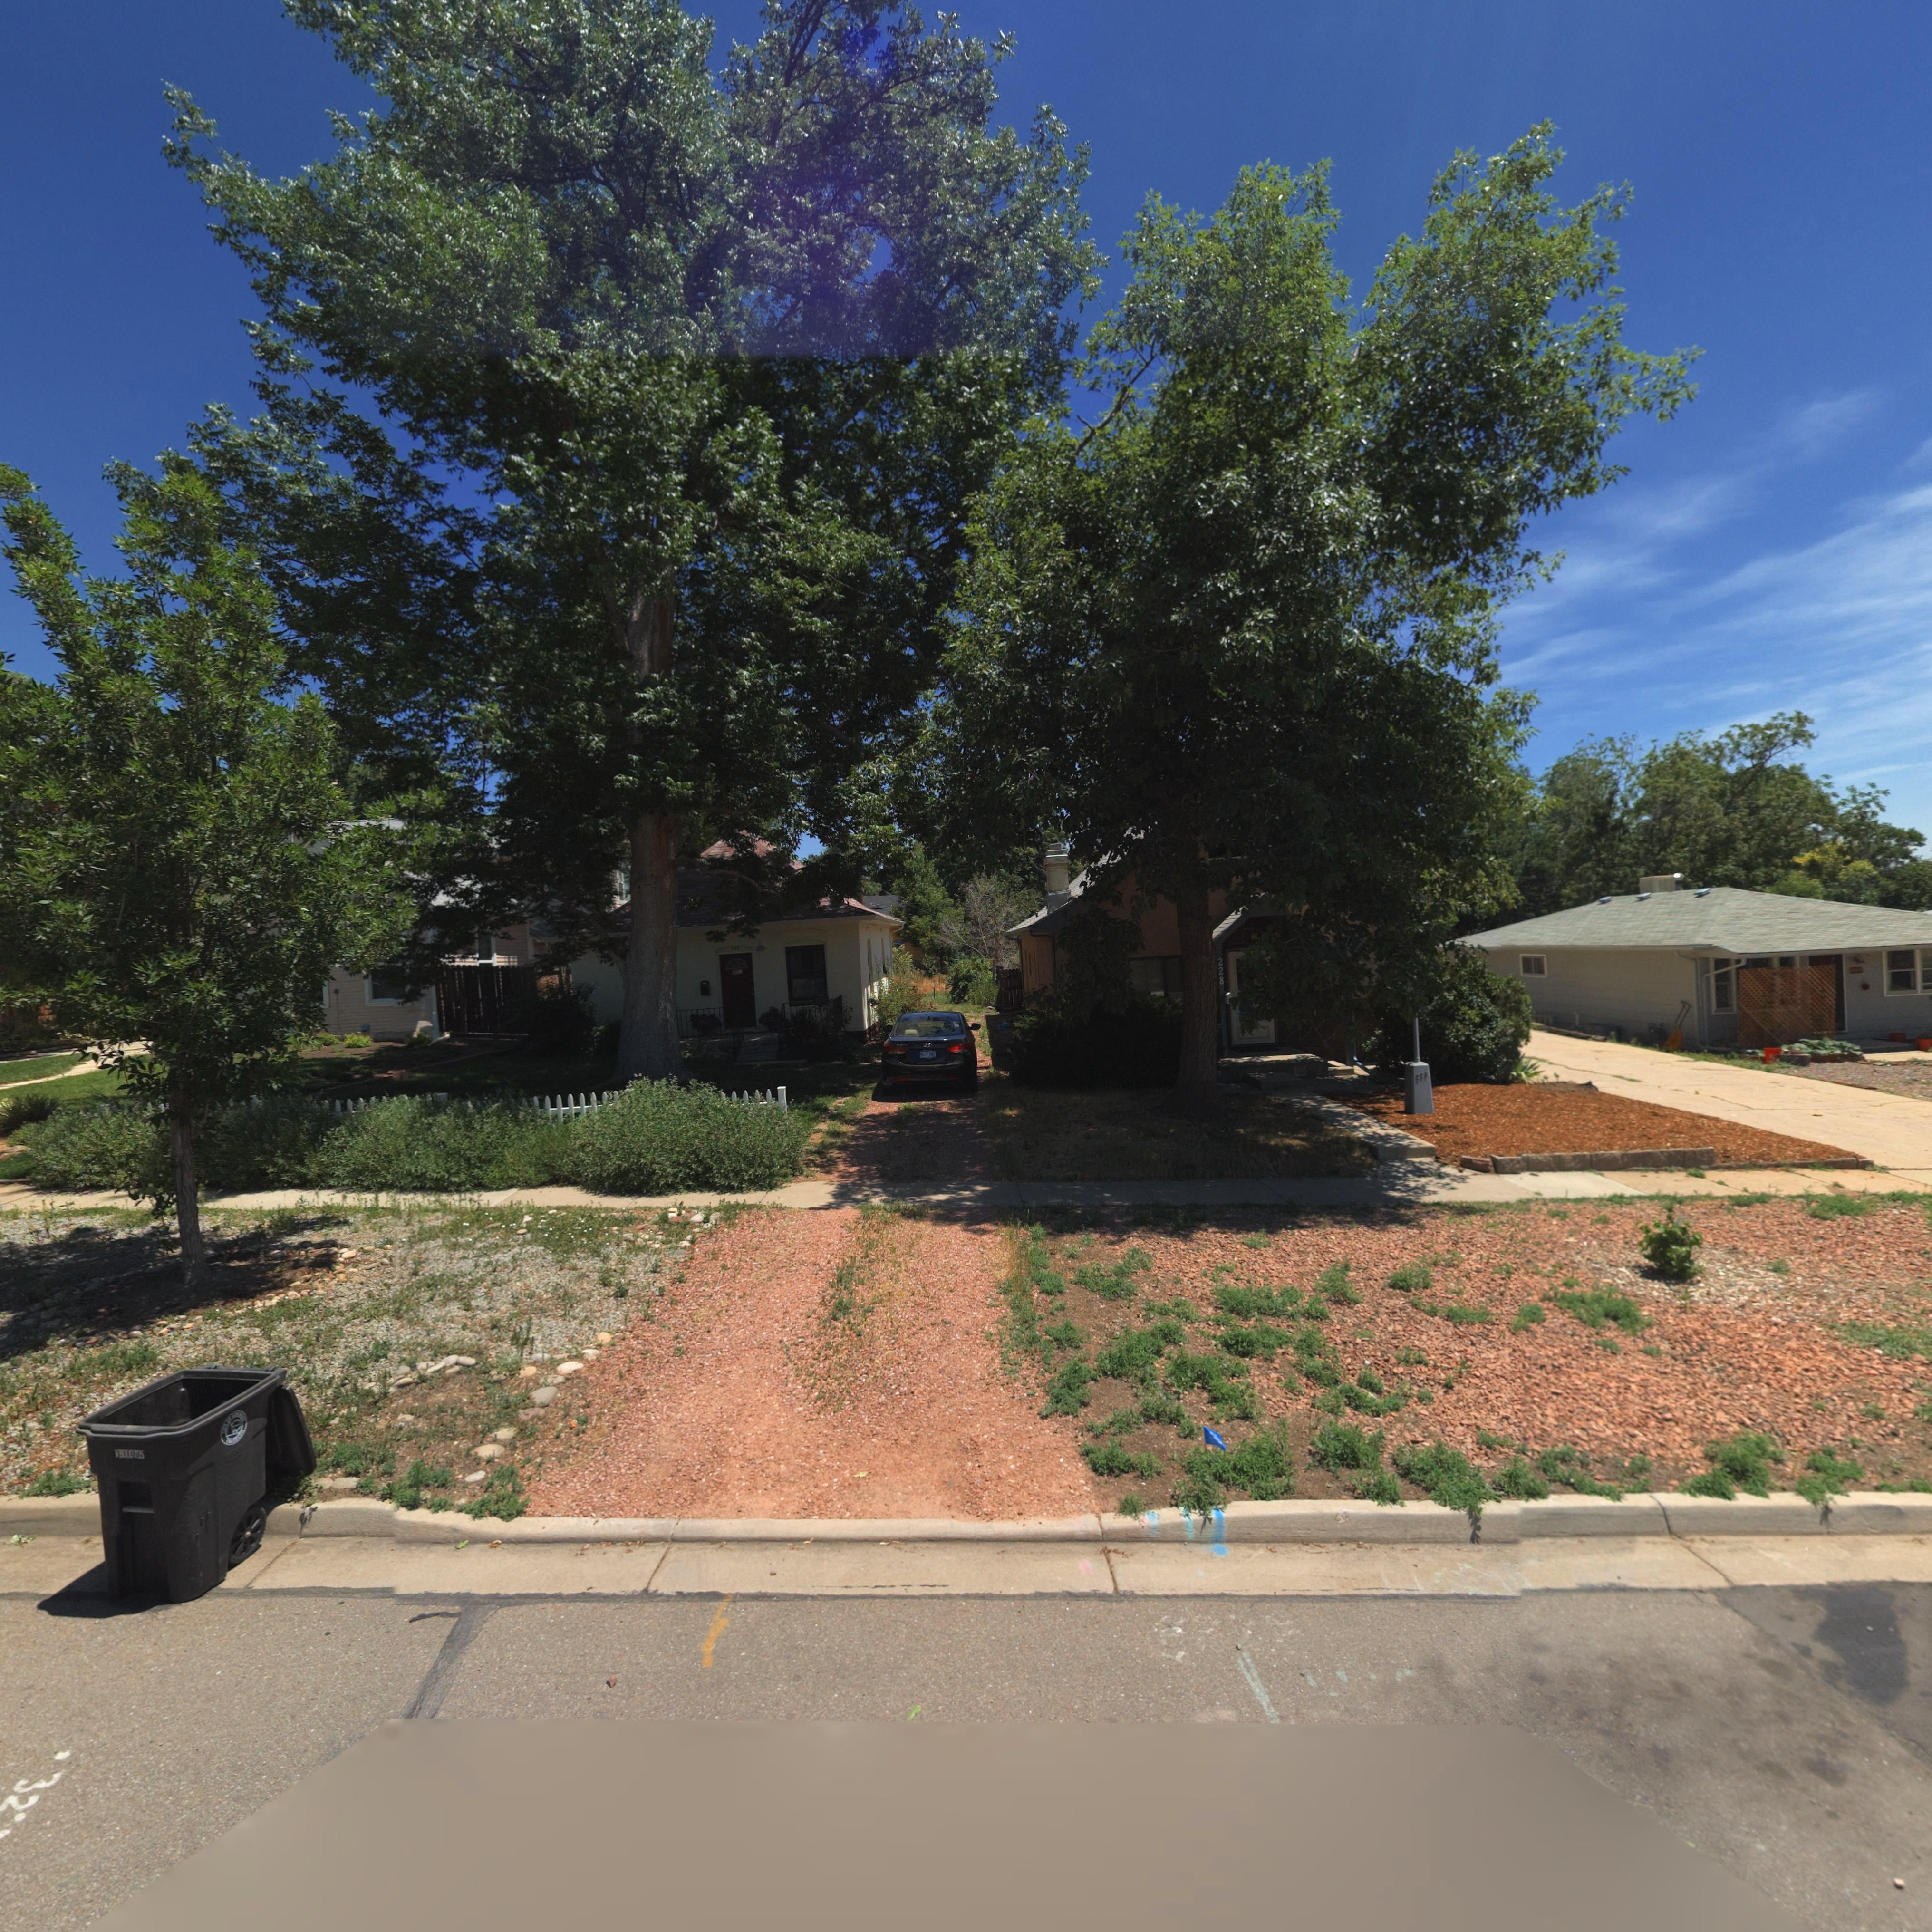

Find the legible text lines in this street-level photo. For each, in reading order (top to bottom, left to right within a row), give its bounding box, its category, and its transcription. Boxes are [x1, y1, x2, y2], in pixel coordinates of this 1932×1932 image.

[730, 946, 740, 951] StreetNumber: 230
[1217, 957, 1224, 985] StreetNumber: 228
[1416, 1072, 1428, 1080] StreetNumber: 228